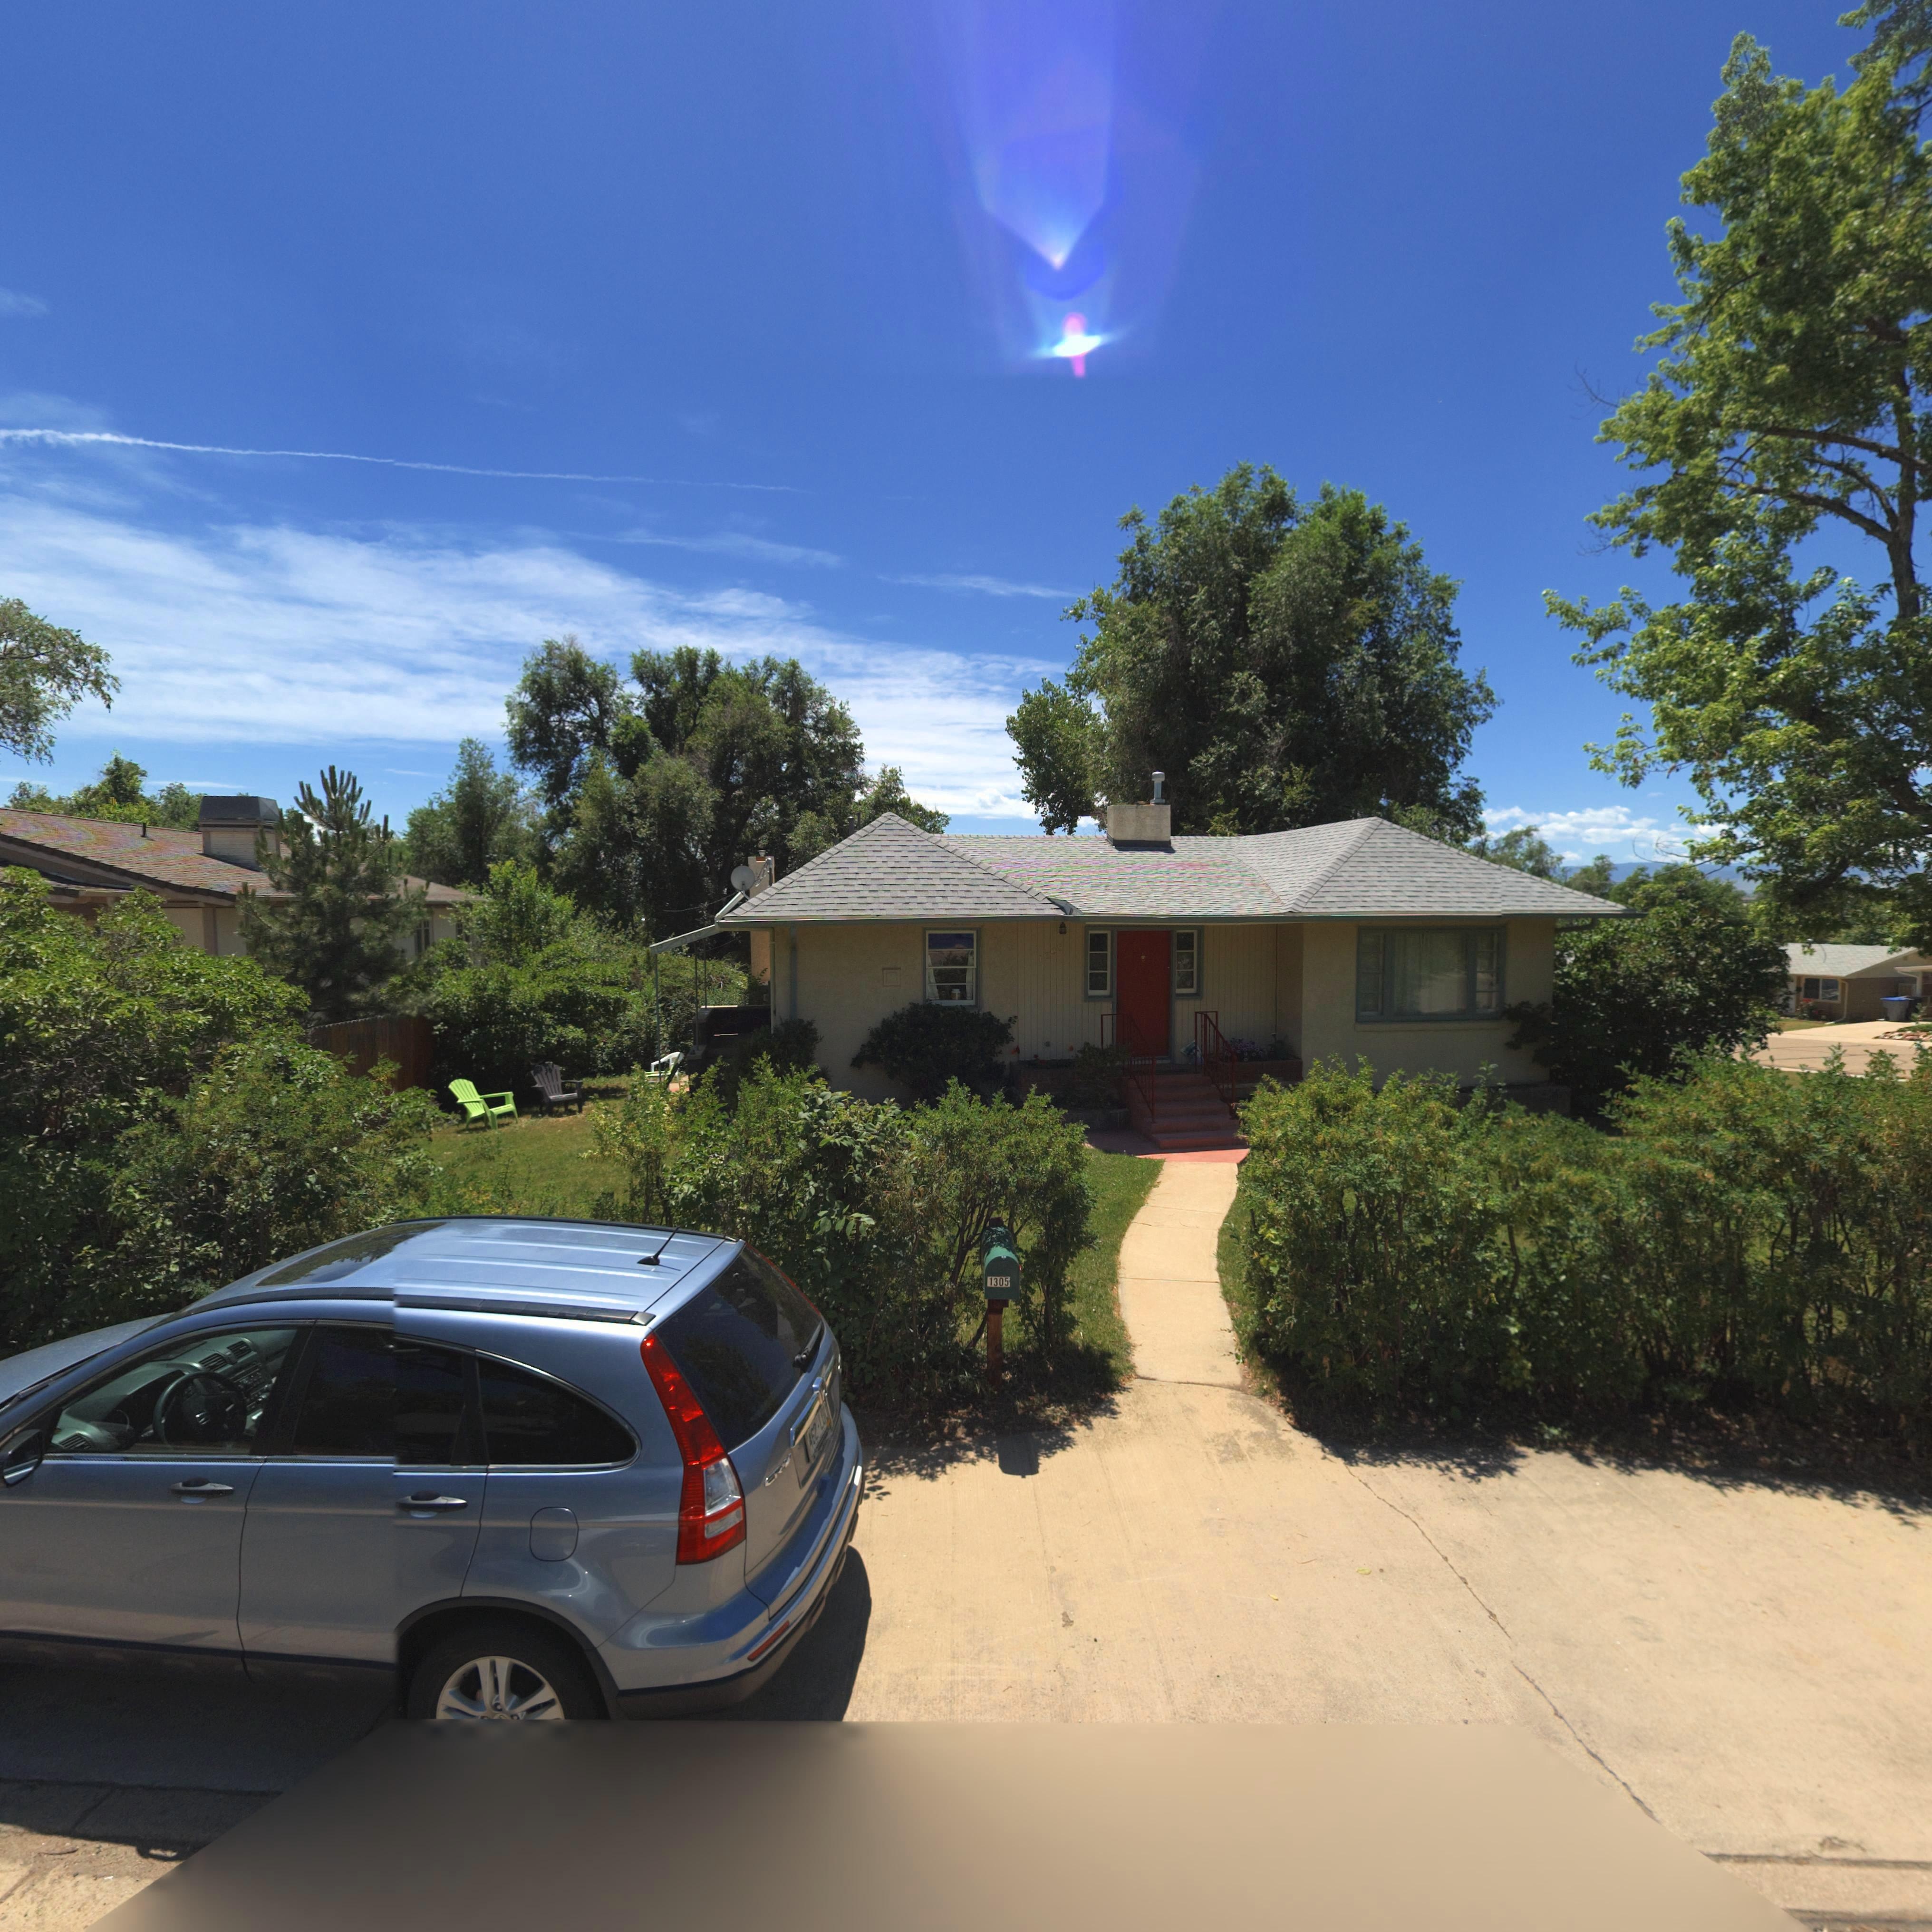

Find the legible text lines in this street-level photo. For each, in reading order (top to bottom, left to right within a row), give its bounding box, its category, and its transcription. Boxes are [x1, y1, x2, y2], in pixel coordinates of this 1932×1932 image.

[1039, 944, 1063, 963] StreetNumber: 1305
[989, 1277, 1008, 1286] StreetNumber: 1305